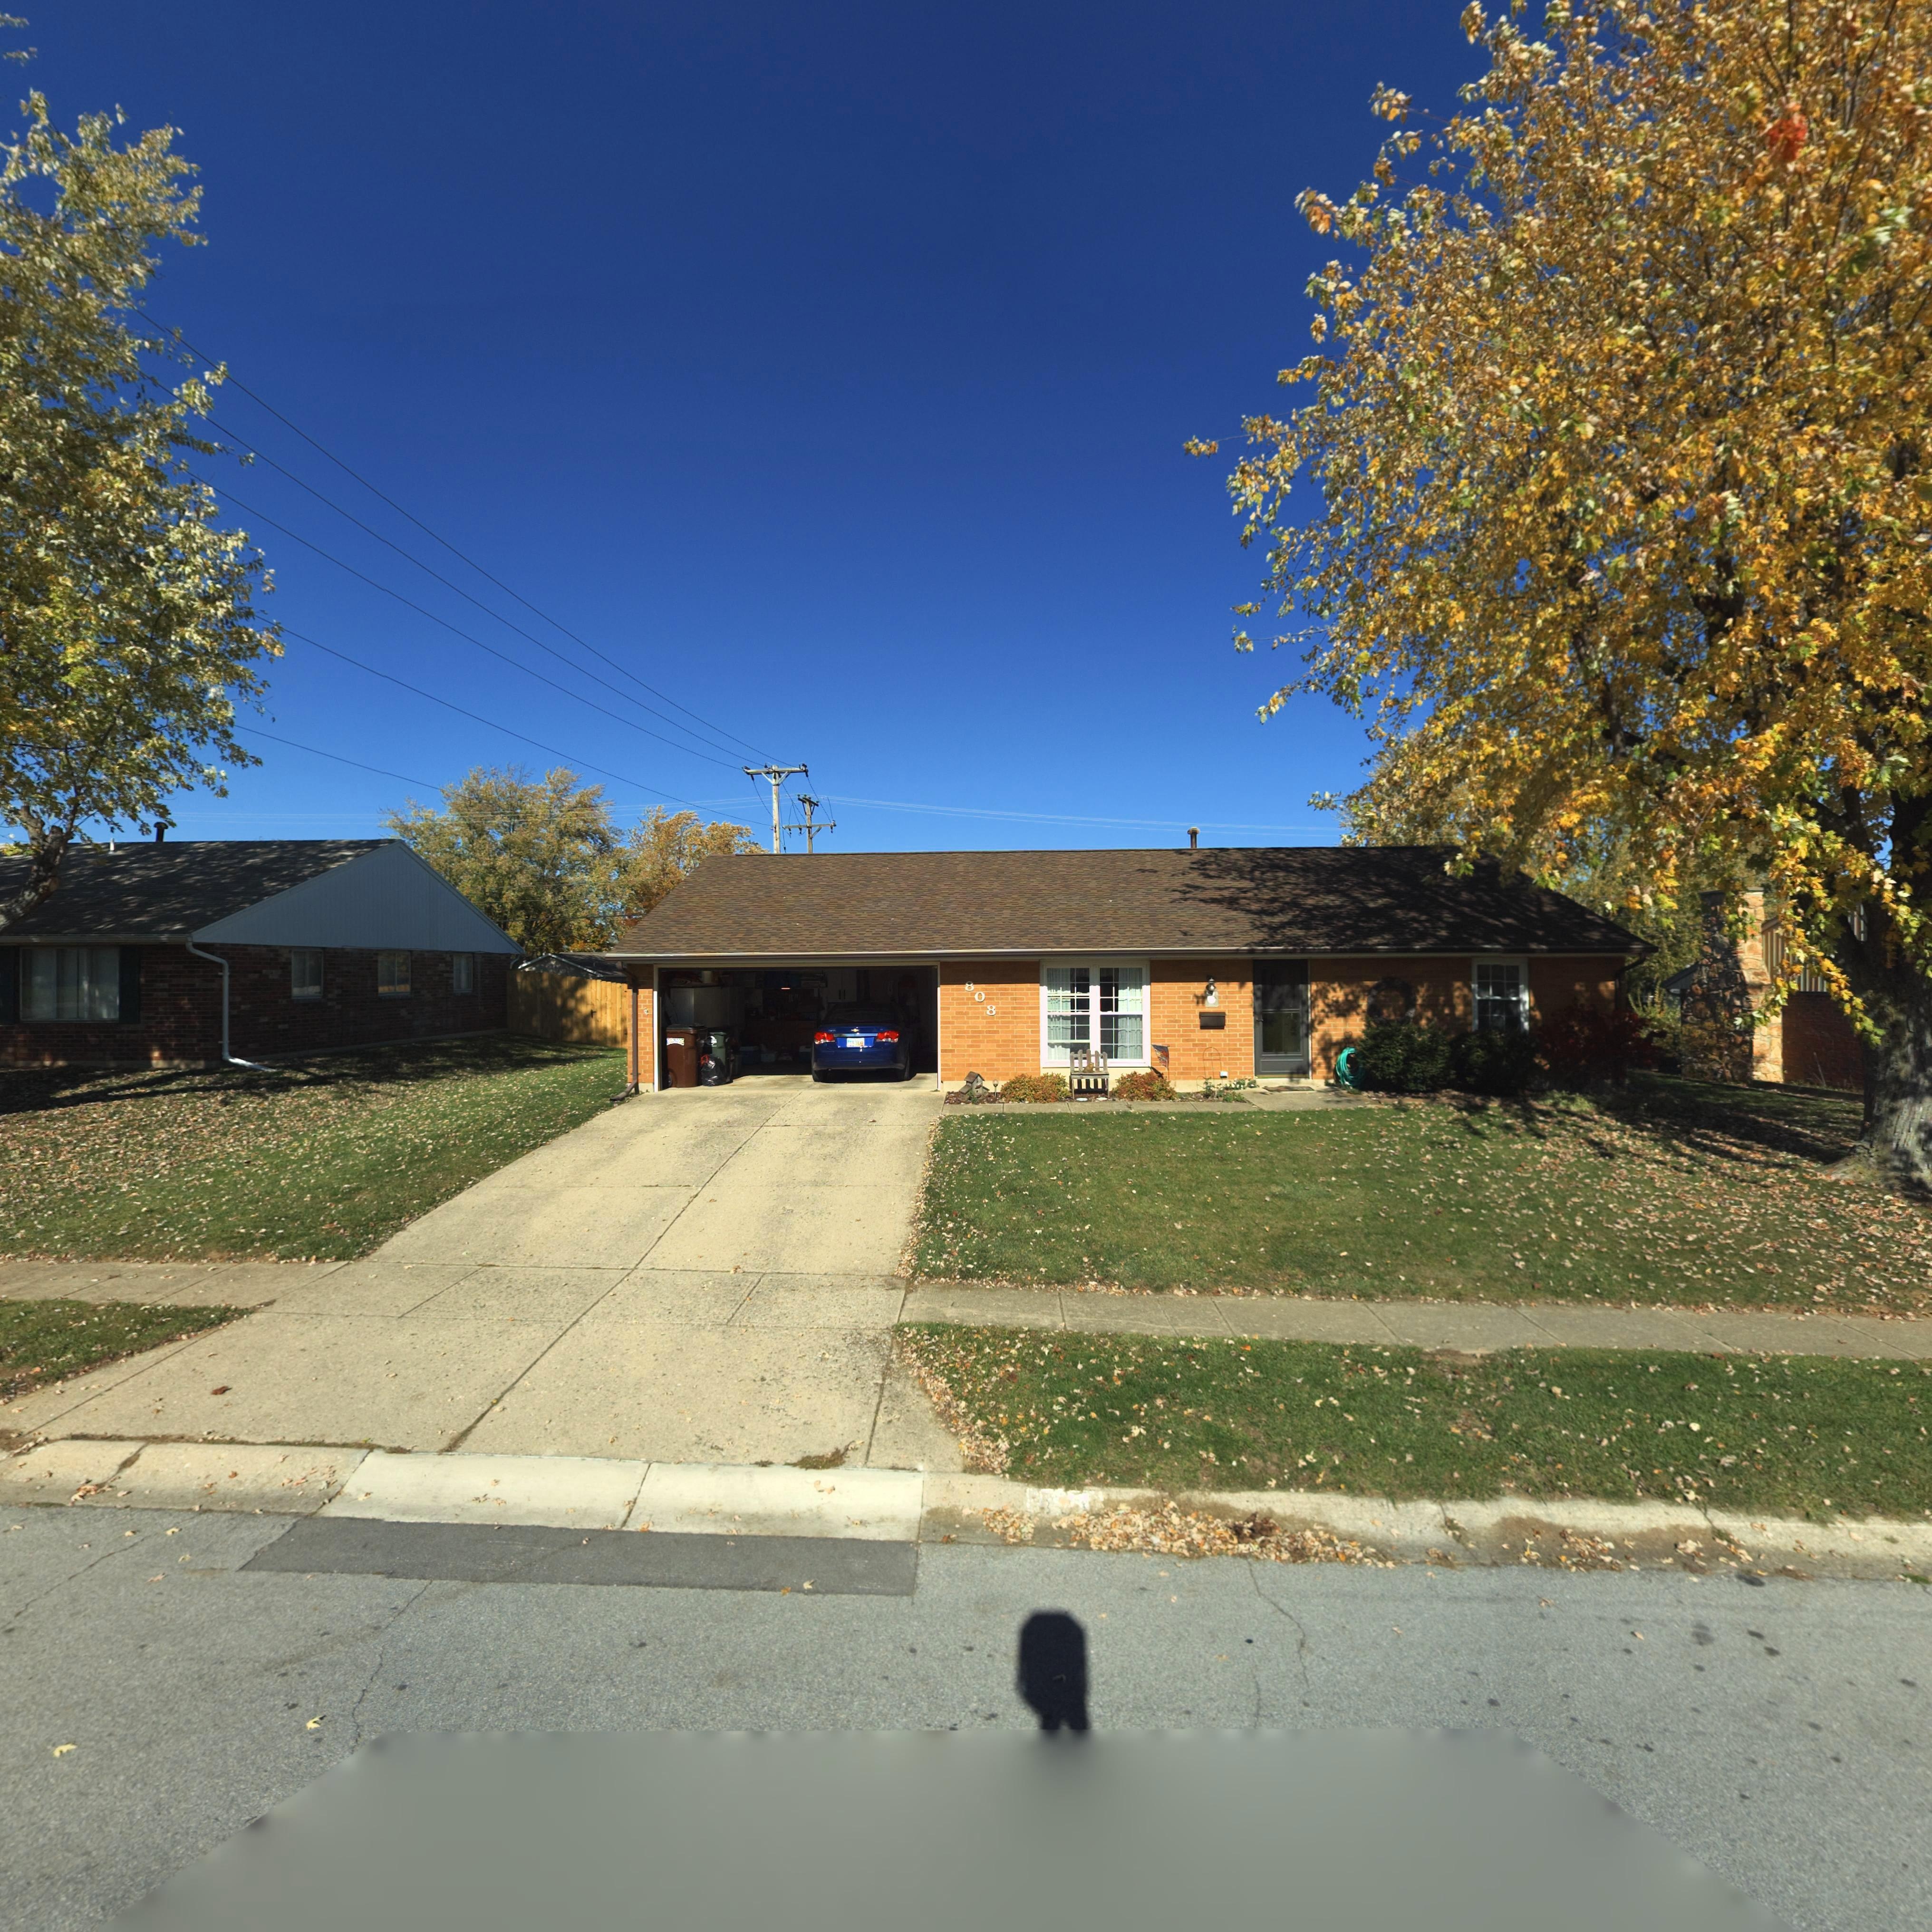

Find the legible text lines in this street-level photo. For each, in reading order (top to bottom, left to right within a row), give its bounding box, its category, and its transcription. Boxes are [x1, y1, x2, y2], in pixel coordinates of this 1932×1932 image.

[965, 980, 996, 1016] StreetNumber: 808